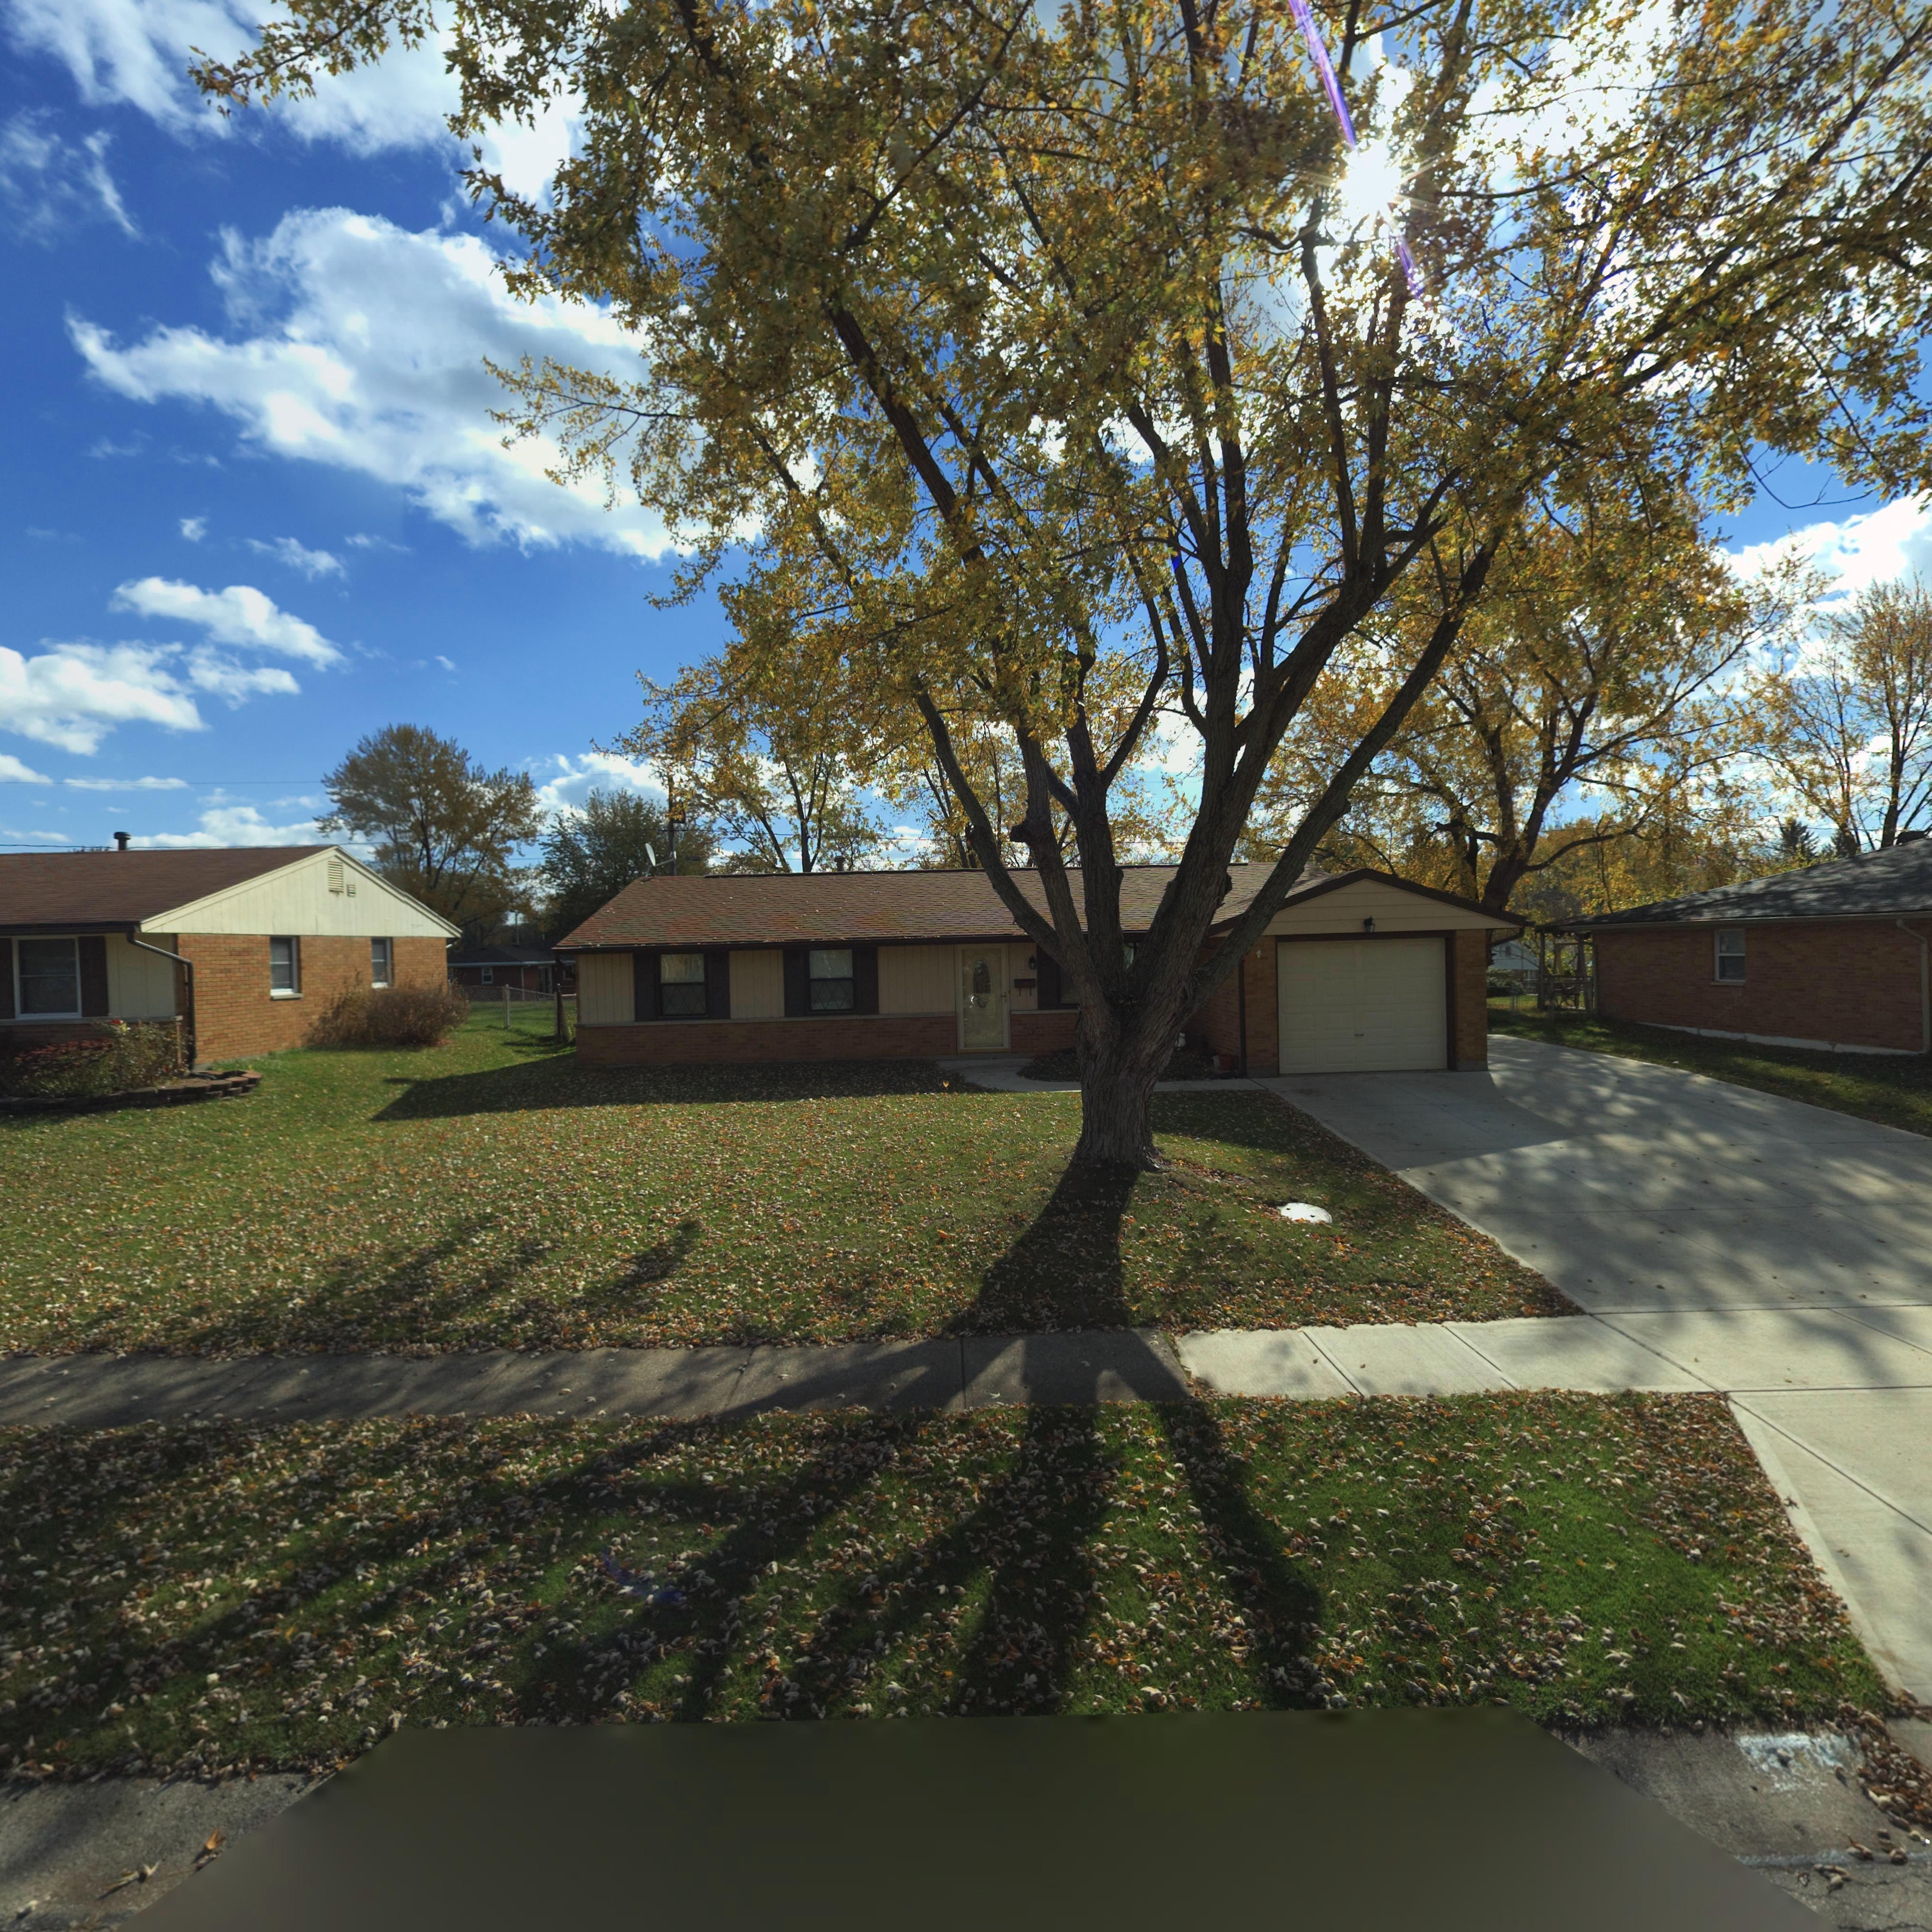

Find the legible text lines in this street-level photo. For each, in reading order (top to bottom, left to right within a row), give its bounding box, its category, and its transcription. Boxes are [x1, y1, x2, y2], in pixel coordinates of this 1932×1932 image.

[1760, 1746, 1797, 1778] StreetNumber: 7
[1816, 1741, 1858, 1774] StreetNumber: 4